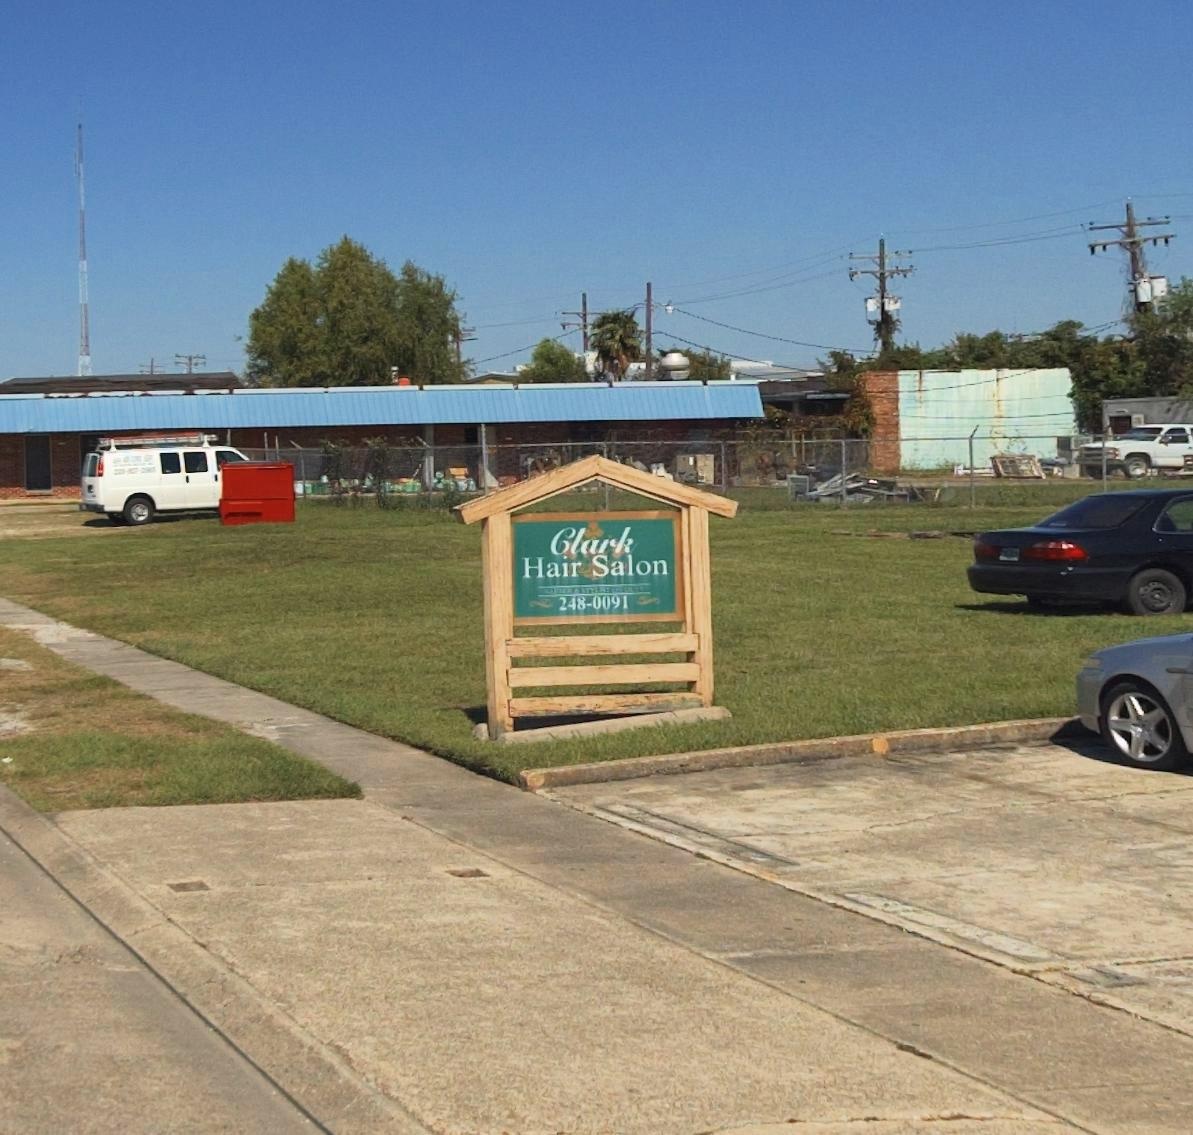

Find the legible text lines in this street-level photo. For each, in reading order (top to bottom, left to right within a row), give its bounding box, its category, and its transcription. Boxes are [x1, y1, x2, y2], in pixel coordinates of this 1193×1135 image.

[547, 522, 641, 557] BusinessName: Clark
[520, 553, 670, 580] BusinessName: Clark Hair Salon
[555, 592, 631, 613] None: 248-0091